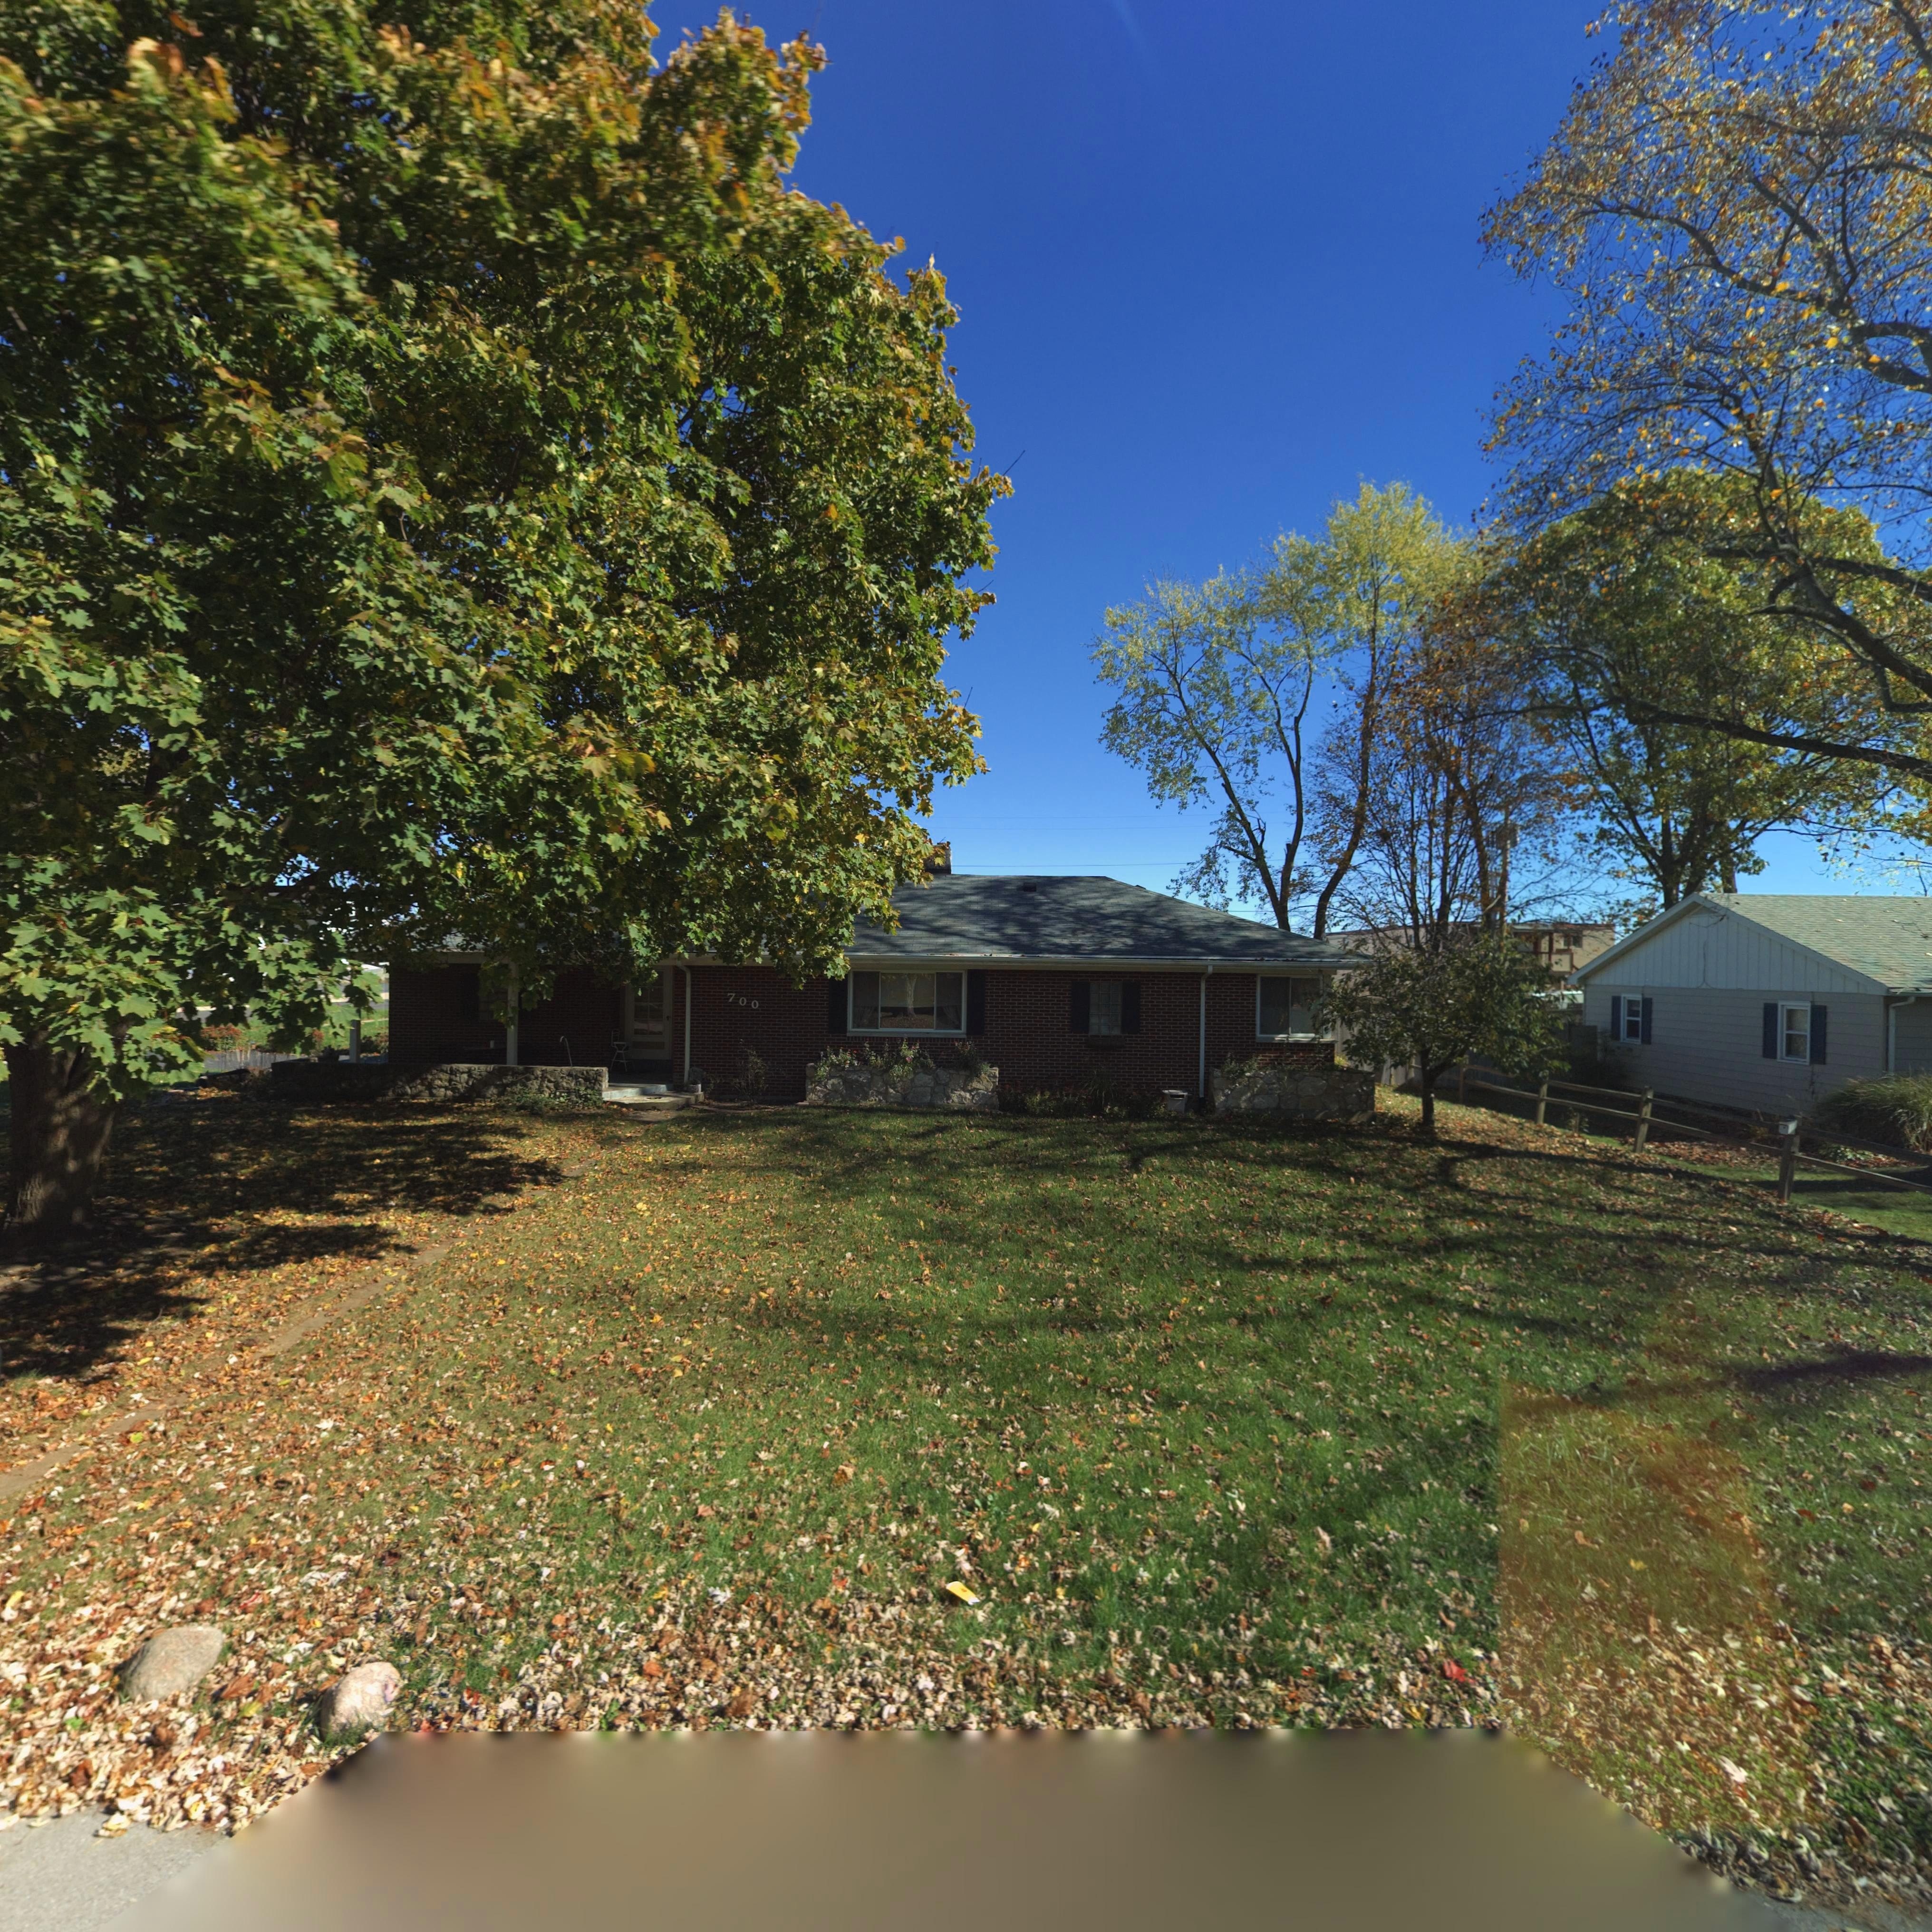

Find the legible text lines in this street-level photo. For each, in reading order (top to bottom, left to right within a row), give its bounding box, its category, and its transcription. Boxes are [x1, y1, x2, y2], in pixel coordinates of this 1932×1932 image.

[727, 992, 759, 1009] StreetNumber: 700